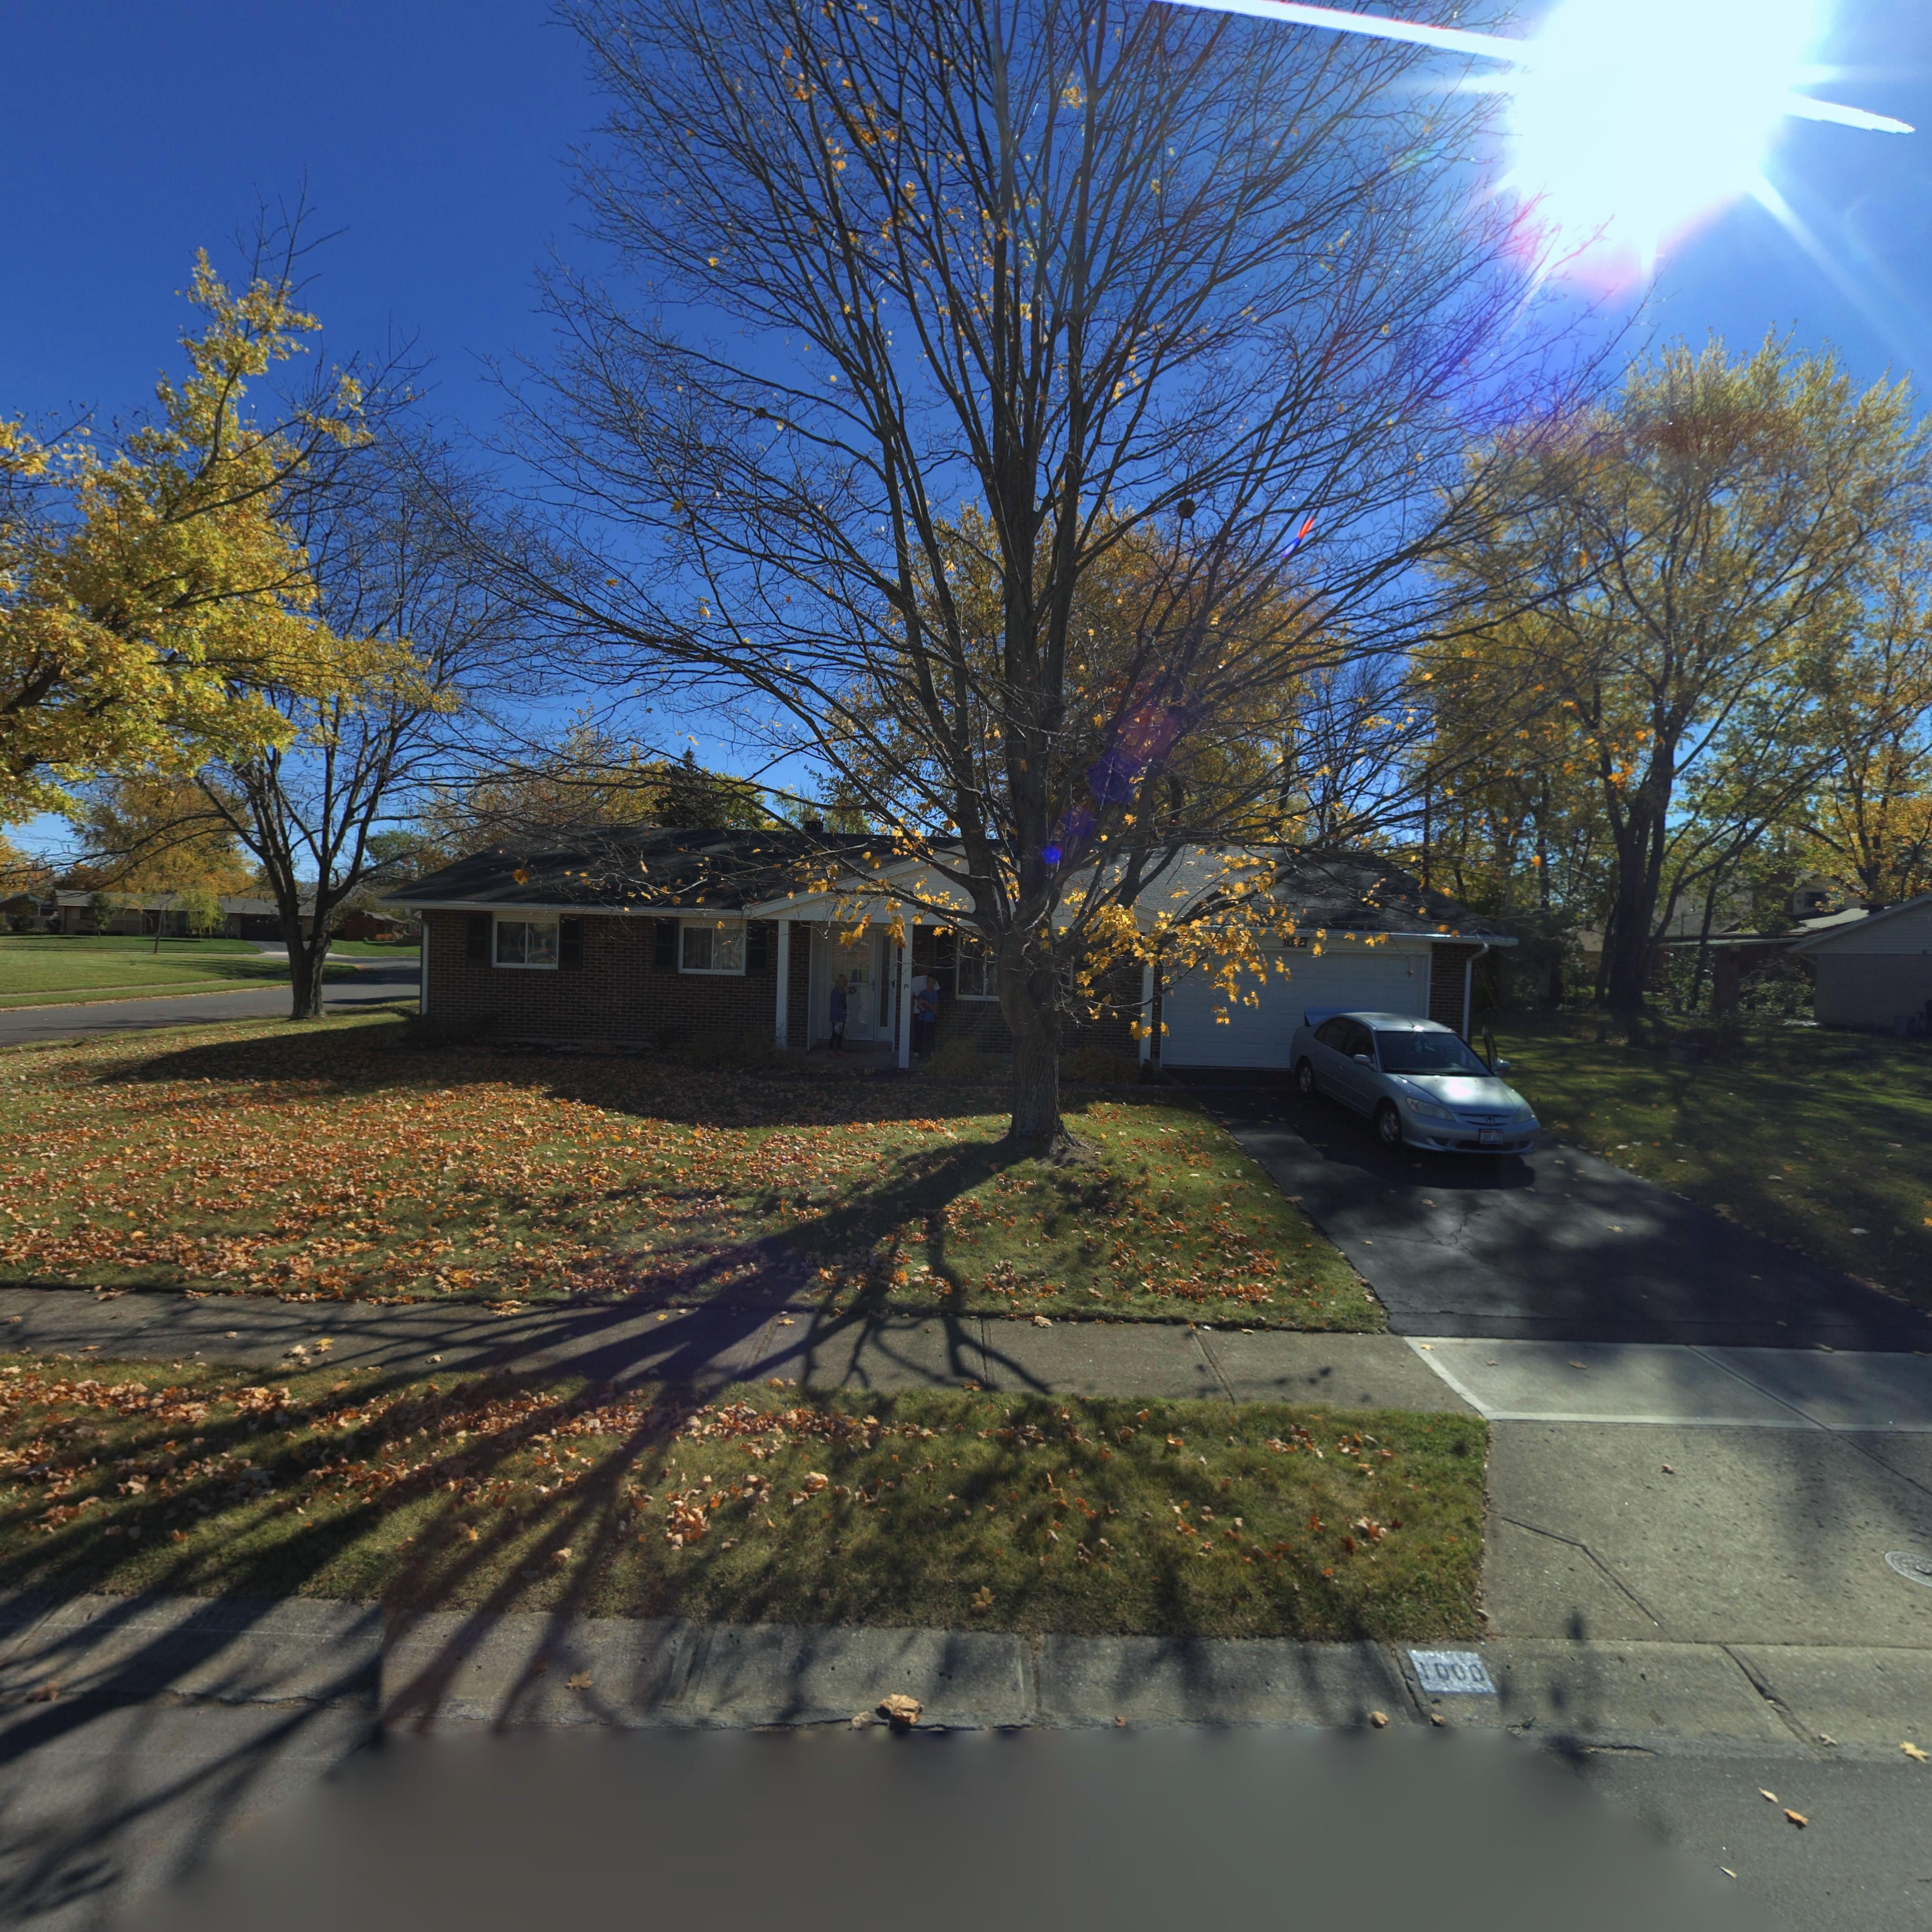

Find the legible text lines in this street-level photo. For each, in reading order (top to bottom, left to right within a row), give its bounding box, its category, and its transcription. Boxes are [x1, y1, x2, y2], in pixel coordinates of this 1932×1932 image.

[1283, 937, 1294, 947] StreetNumber: 10
[1417, 1661, 1488, 1683] StreetNumber: 1000